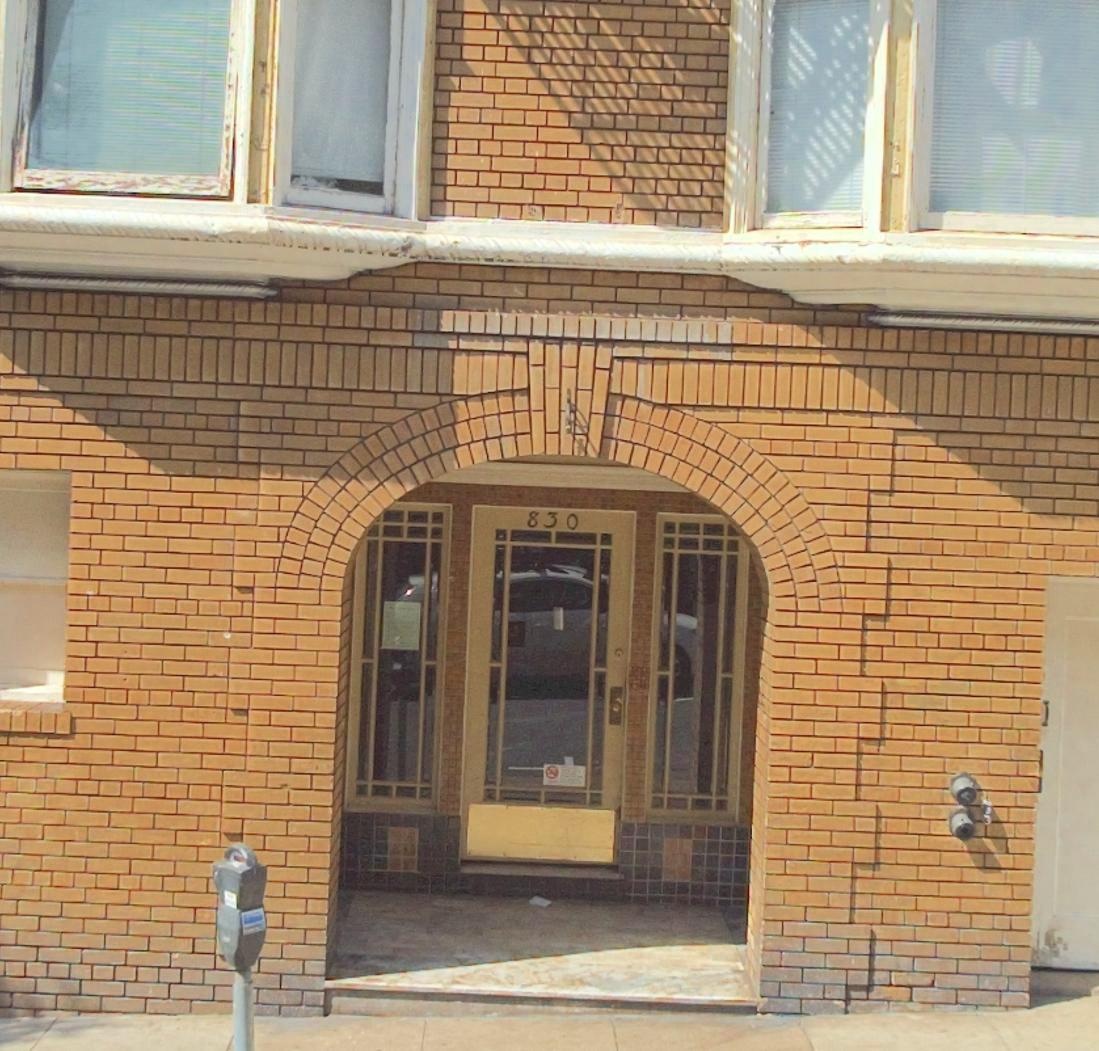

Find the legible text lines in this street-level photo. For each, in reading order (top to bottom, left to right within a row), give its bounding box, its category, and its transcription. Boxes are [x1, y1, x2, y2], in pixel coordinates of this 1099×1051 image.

[525, 509, 580, 531] StreetNumber: 830